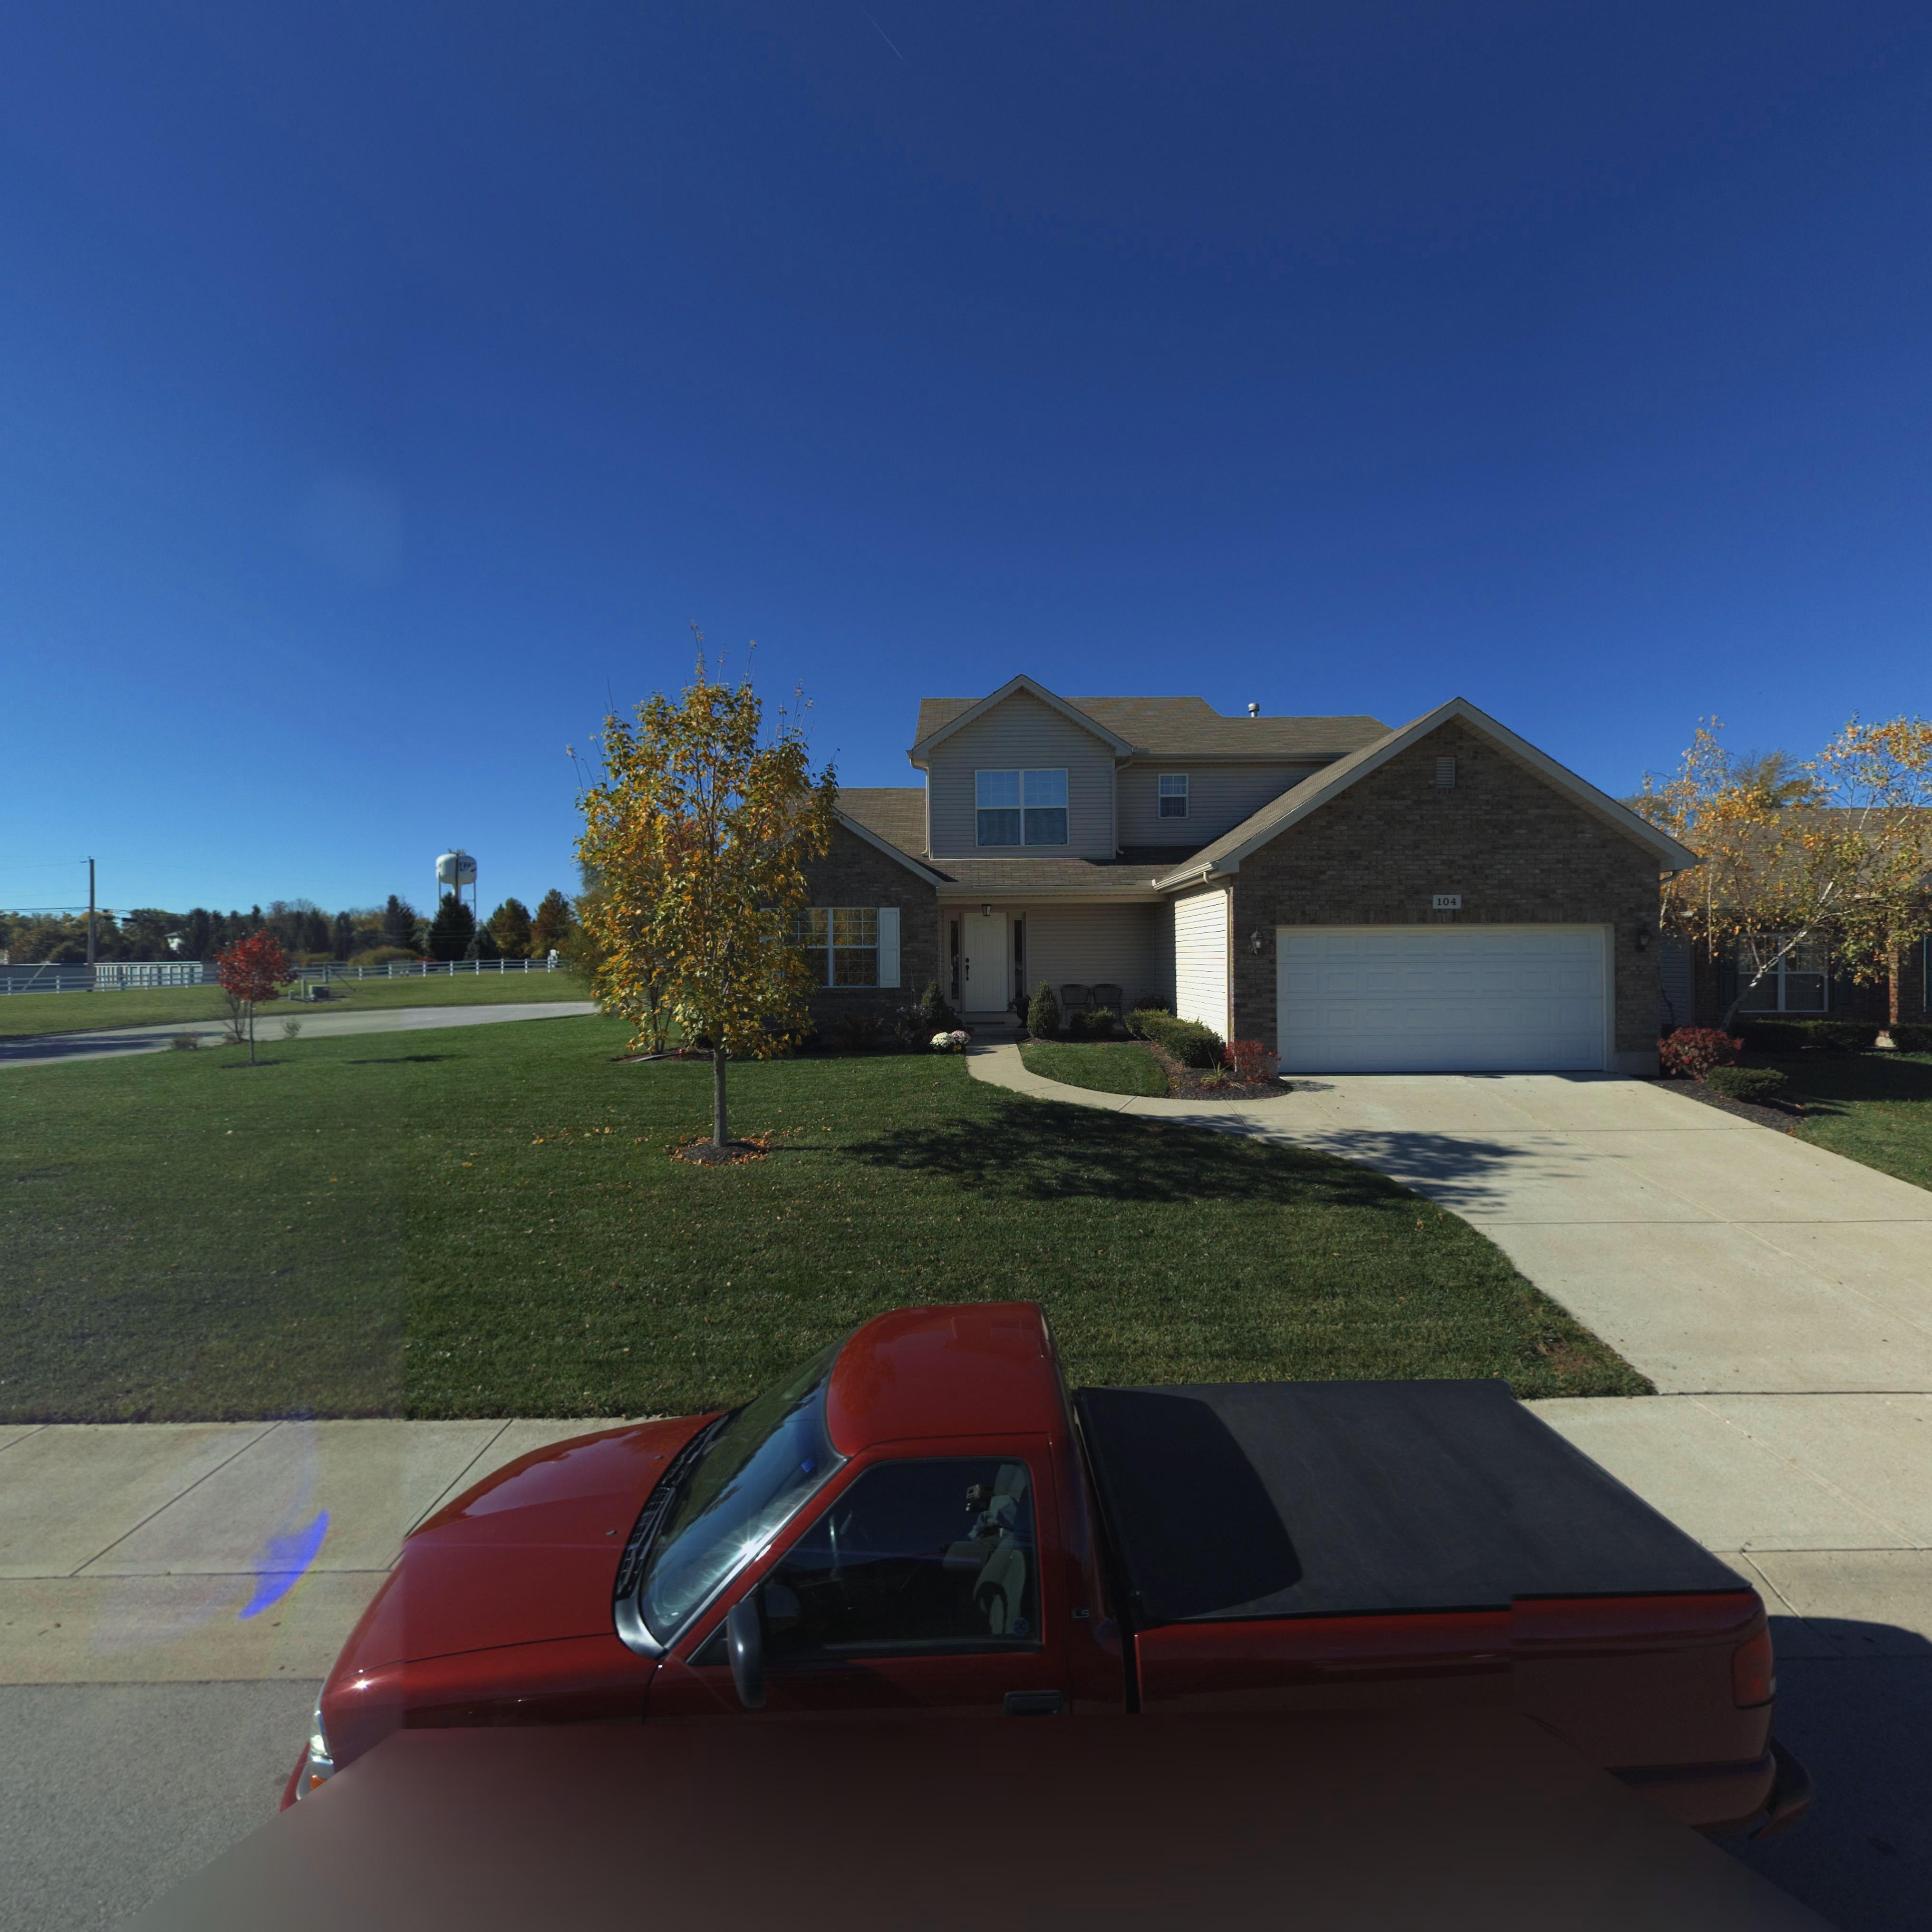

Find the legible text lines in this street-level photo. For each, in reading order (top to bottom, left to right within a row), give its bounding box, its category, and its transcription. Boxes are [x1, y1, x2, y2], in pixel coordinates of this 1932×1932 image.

[1436, 897, 1458, 907] StreetNumber: 104